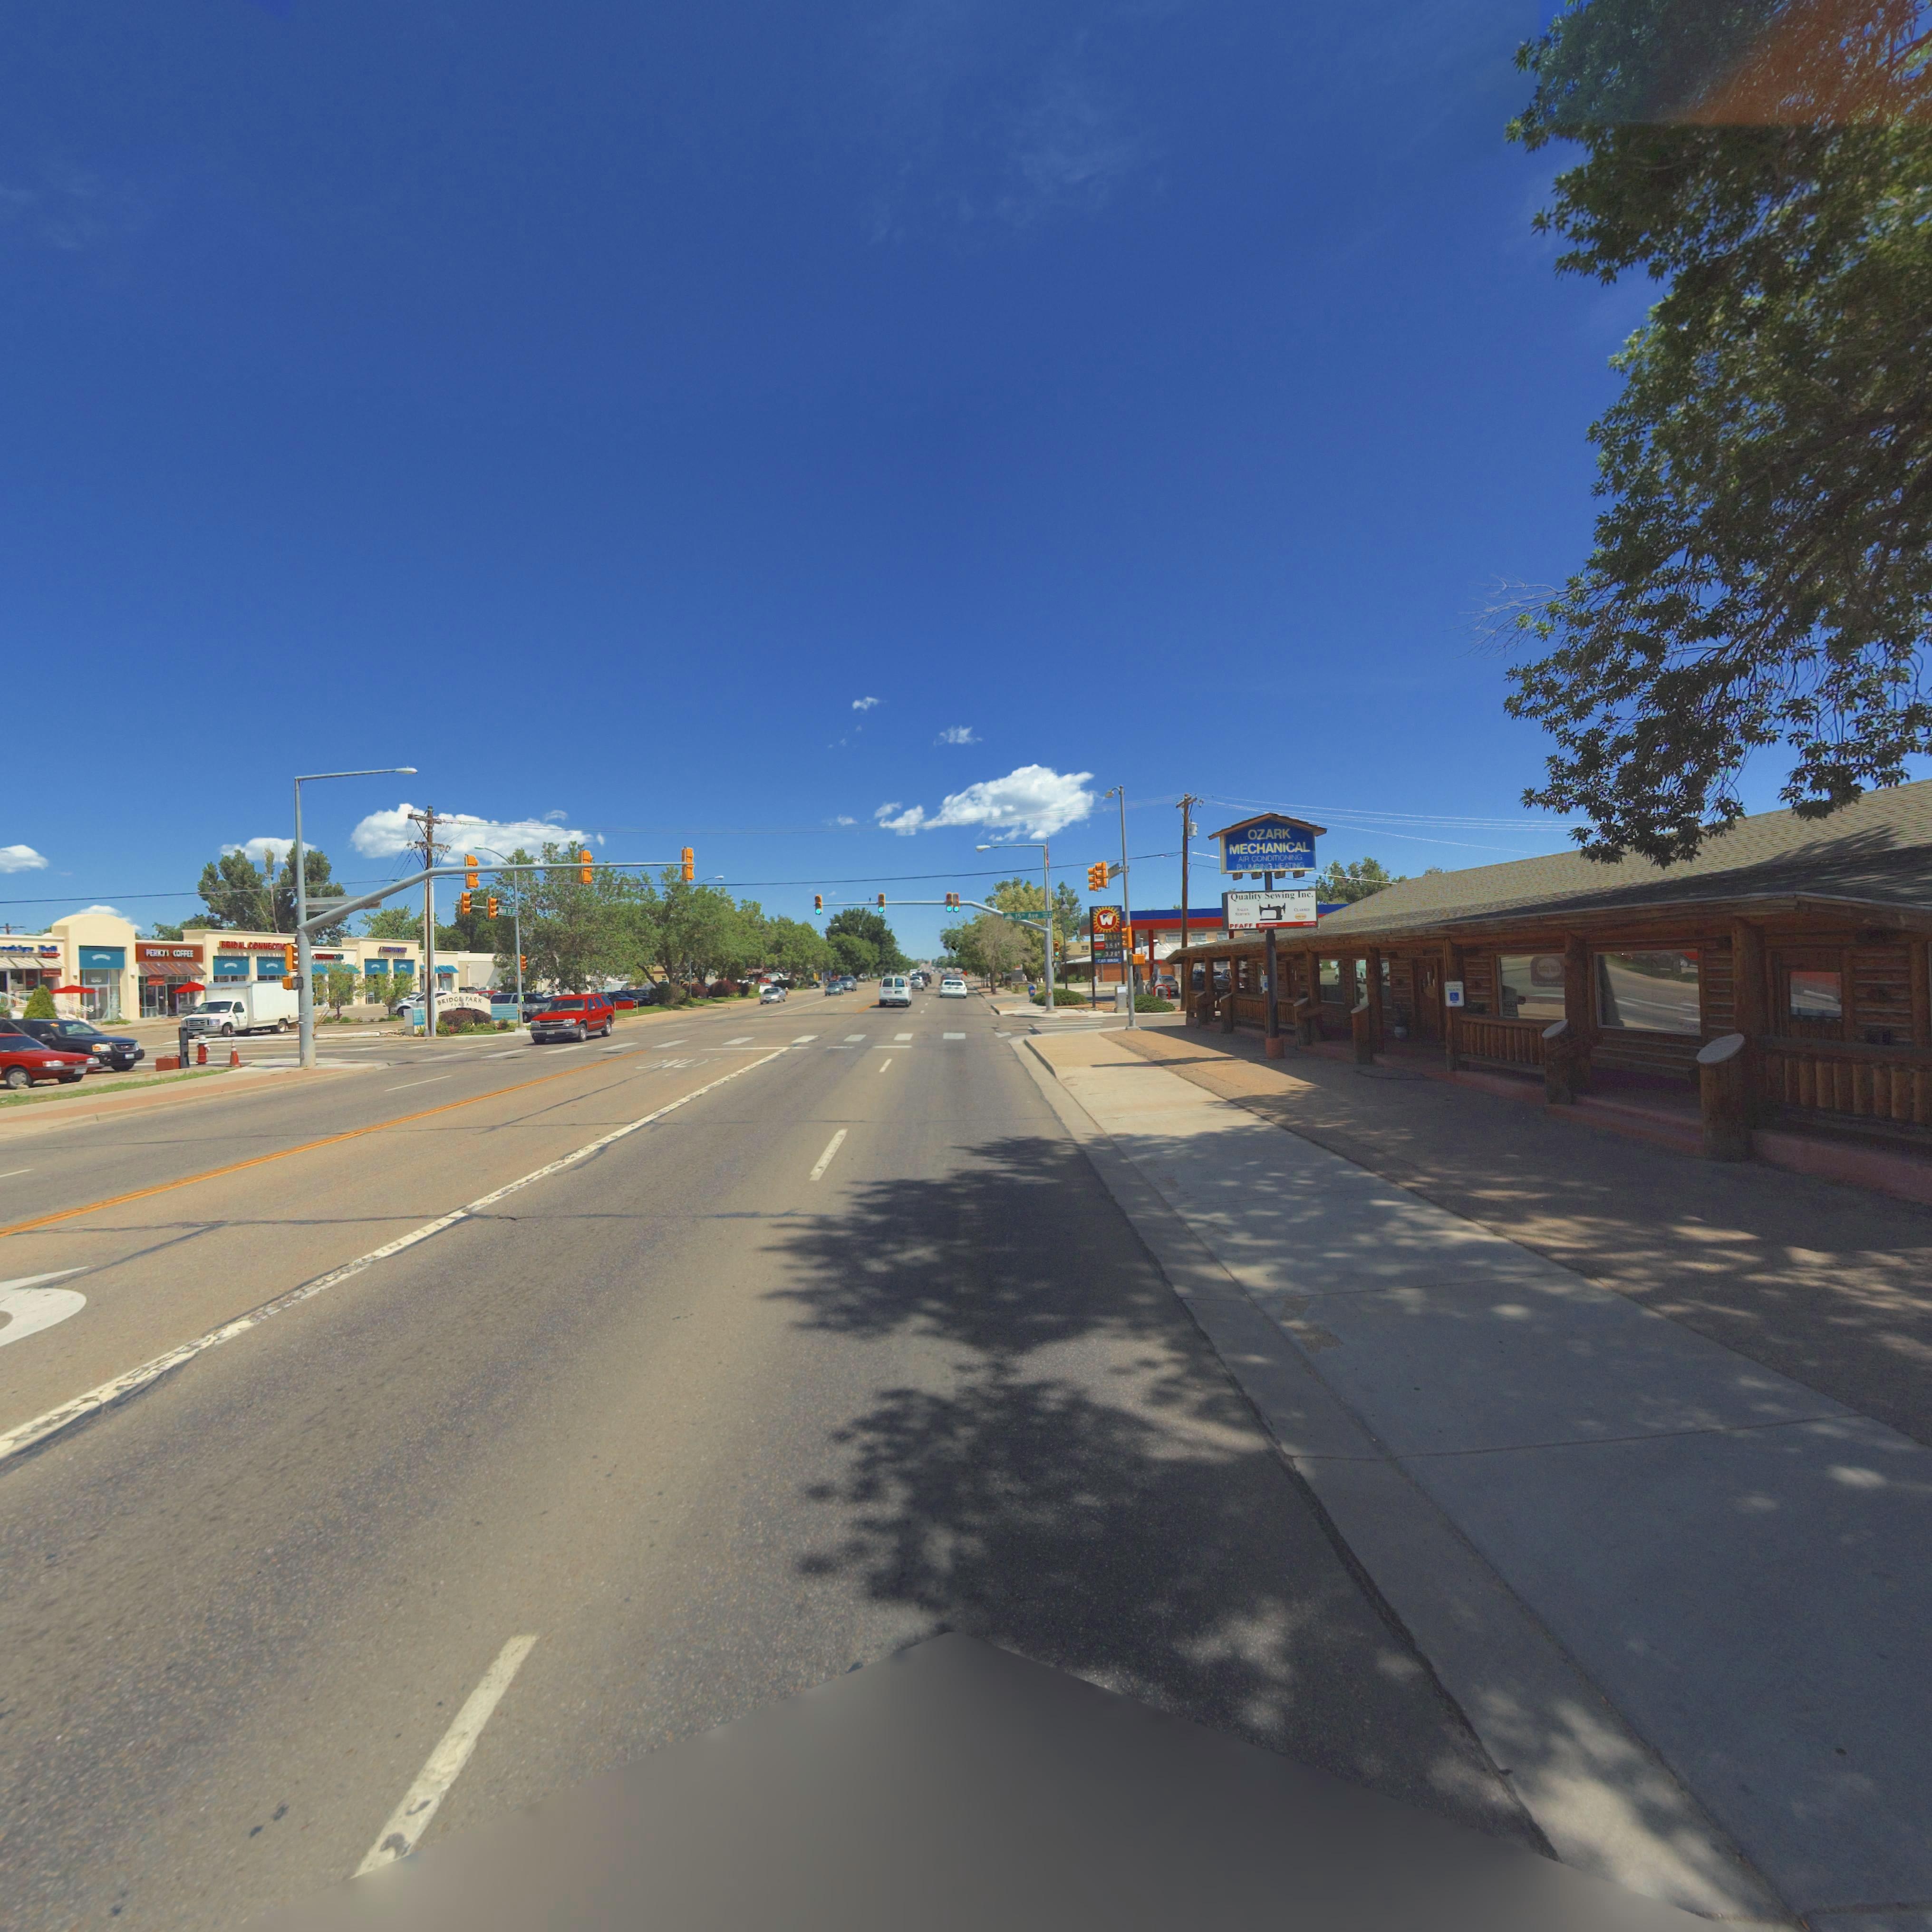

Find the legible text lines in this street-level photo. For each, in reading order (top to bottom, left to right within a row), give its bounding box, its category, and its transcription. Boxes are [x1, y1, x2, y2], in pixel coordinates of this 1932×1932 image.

[1247, 828, 1292, 840] BusinessName: OZARK
[1229, 840, 1311, 855] BusinessName: MECHANICAL
[1230, 890, 1312, 902] BusinessName: Quality Sewing Inc
[498, 907, 512, 914] StreetName: **** S*
[1015, 913, 1038, 919] StreetName: 15** Ave
[221, 940, 285, 950] BusinessName: BRIDAL **NNE****
[146, 948, 193, 957] BusinessName: P**KYS COFFEE